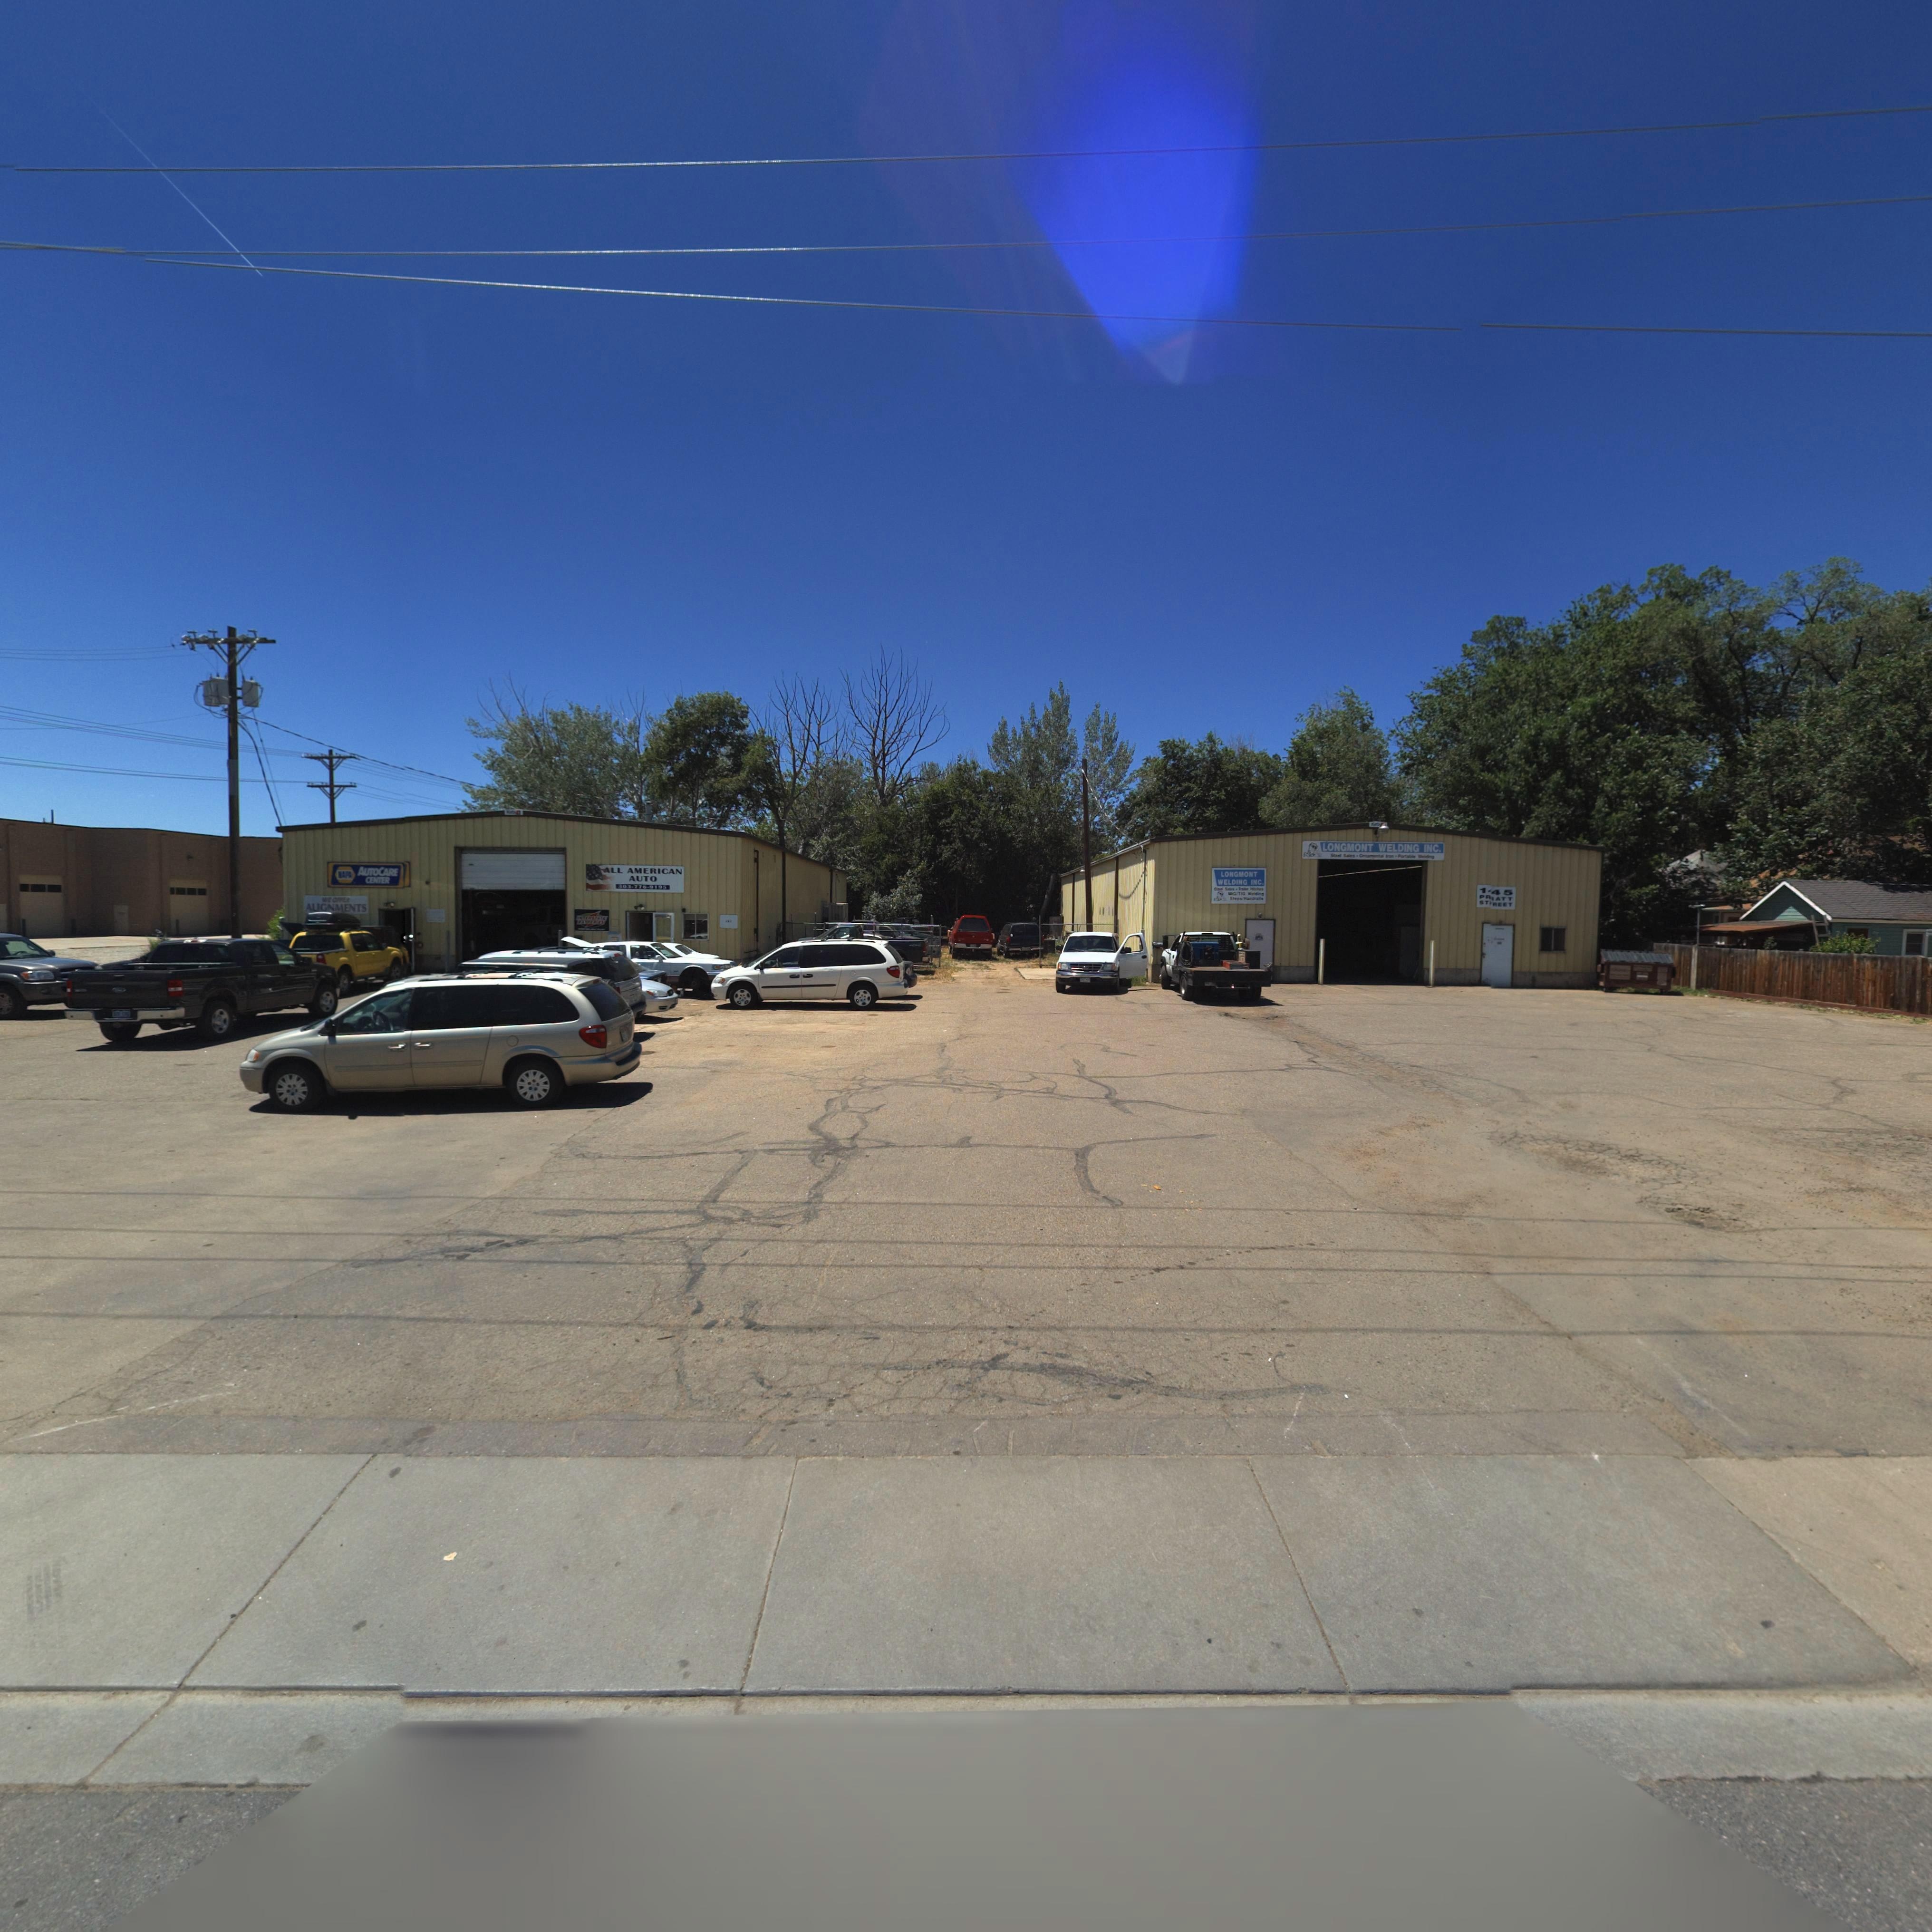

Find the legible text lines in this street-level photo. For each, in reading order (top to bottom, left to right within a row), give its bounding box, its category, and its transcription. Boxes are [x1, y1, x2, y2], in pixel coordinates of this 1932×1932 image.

[1322, 842, 1442, 852] BusinessName: LONGMONT WELDING INC.
[338, 870, 353, 879] BusinessName: NAPA
[357, 866, 399, 877] BusinessName: AUTOCARE
[365, 876, 391, 884] BusinessName: CENTER
[603, 867, 682, 875] BusinessName: ALL AMERICAN
[628, 875, 657, 882] BusinessName: AUTO
[1220, 871, 1258, 877] BusinessName: LONGMONT
[1217, 879, 1264, 885] BusinessName: WELDING INC.
[1479, 887, 1514, 896] StreetNumber: 1*45
[1479, 894, 1513, 901] StreetName: PR*ATT
[1479, 900, 1513, 907] StreetName: ST*REET